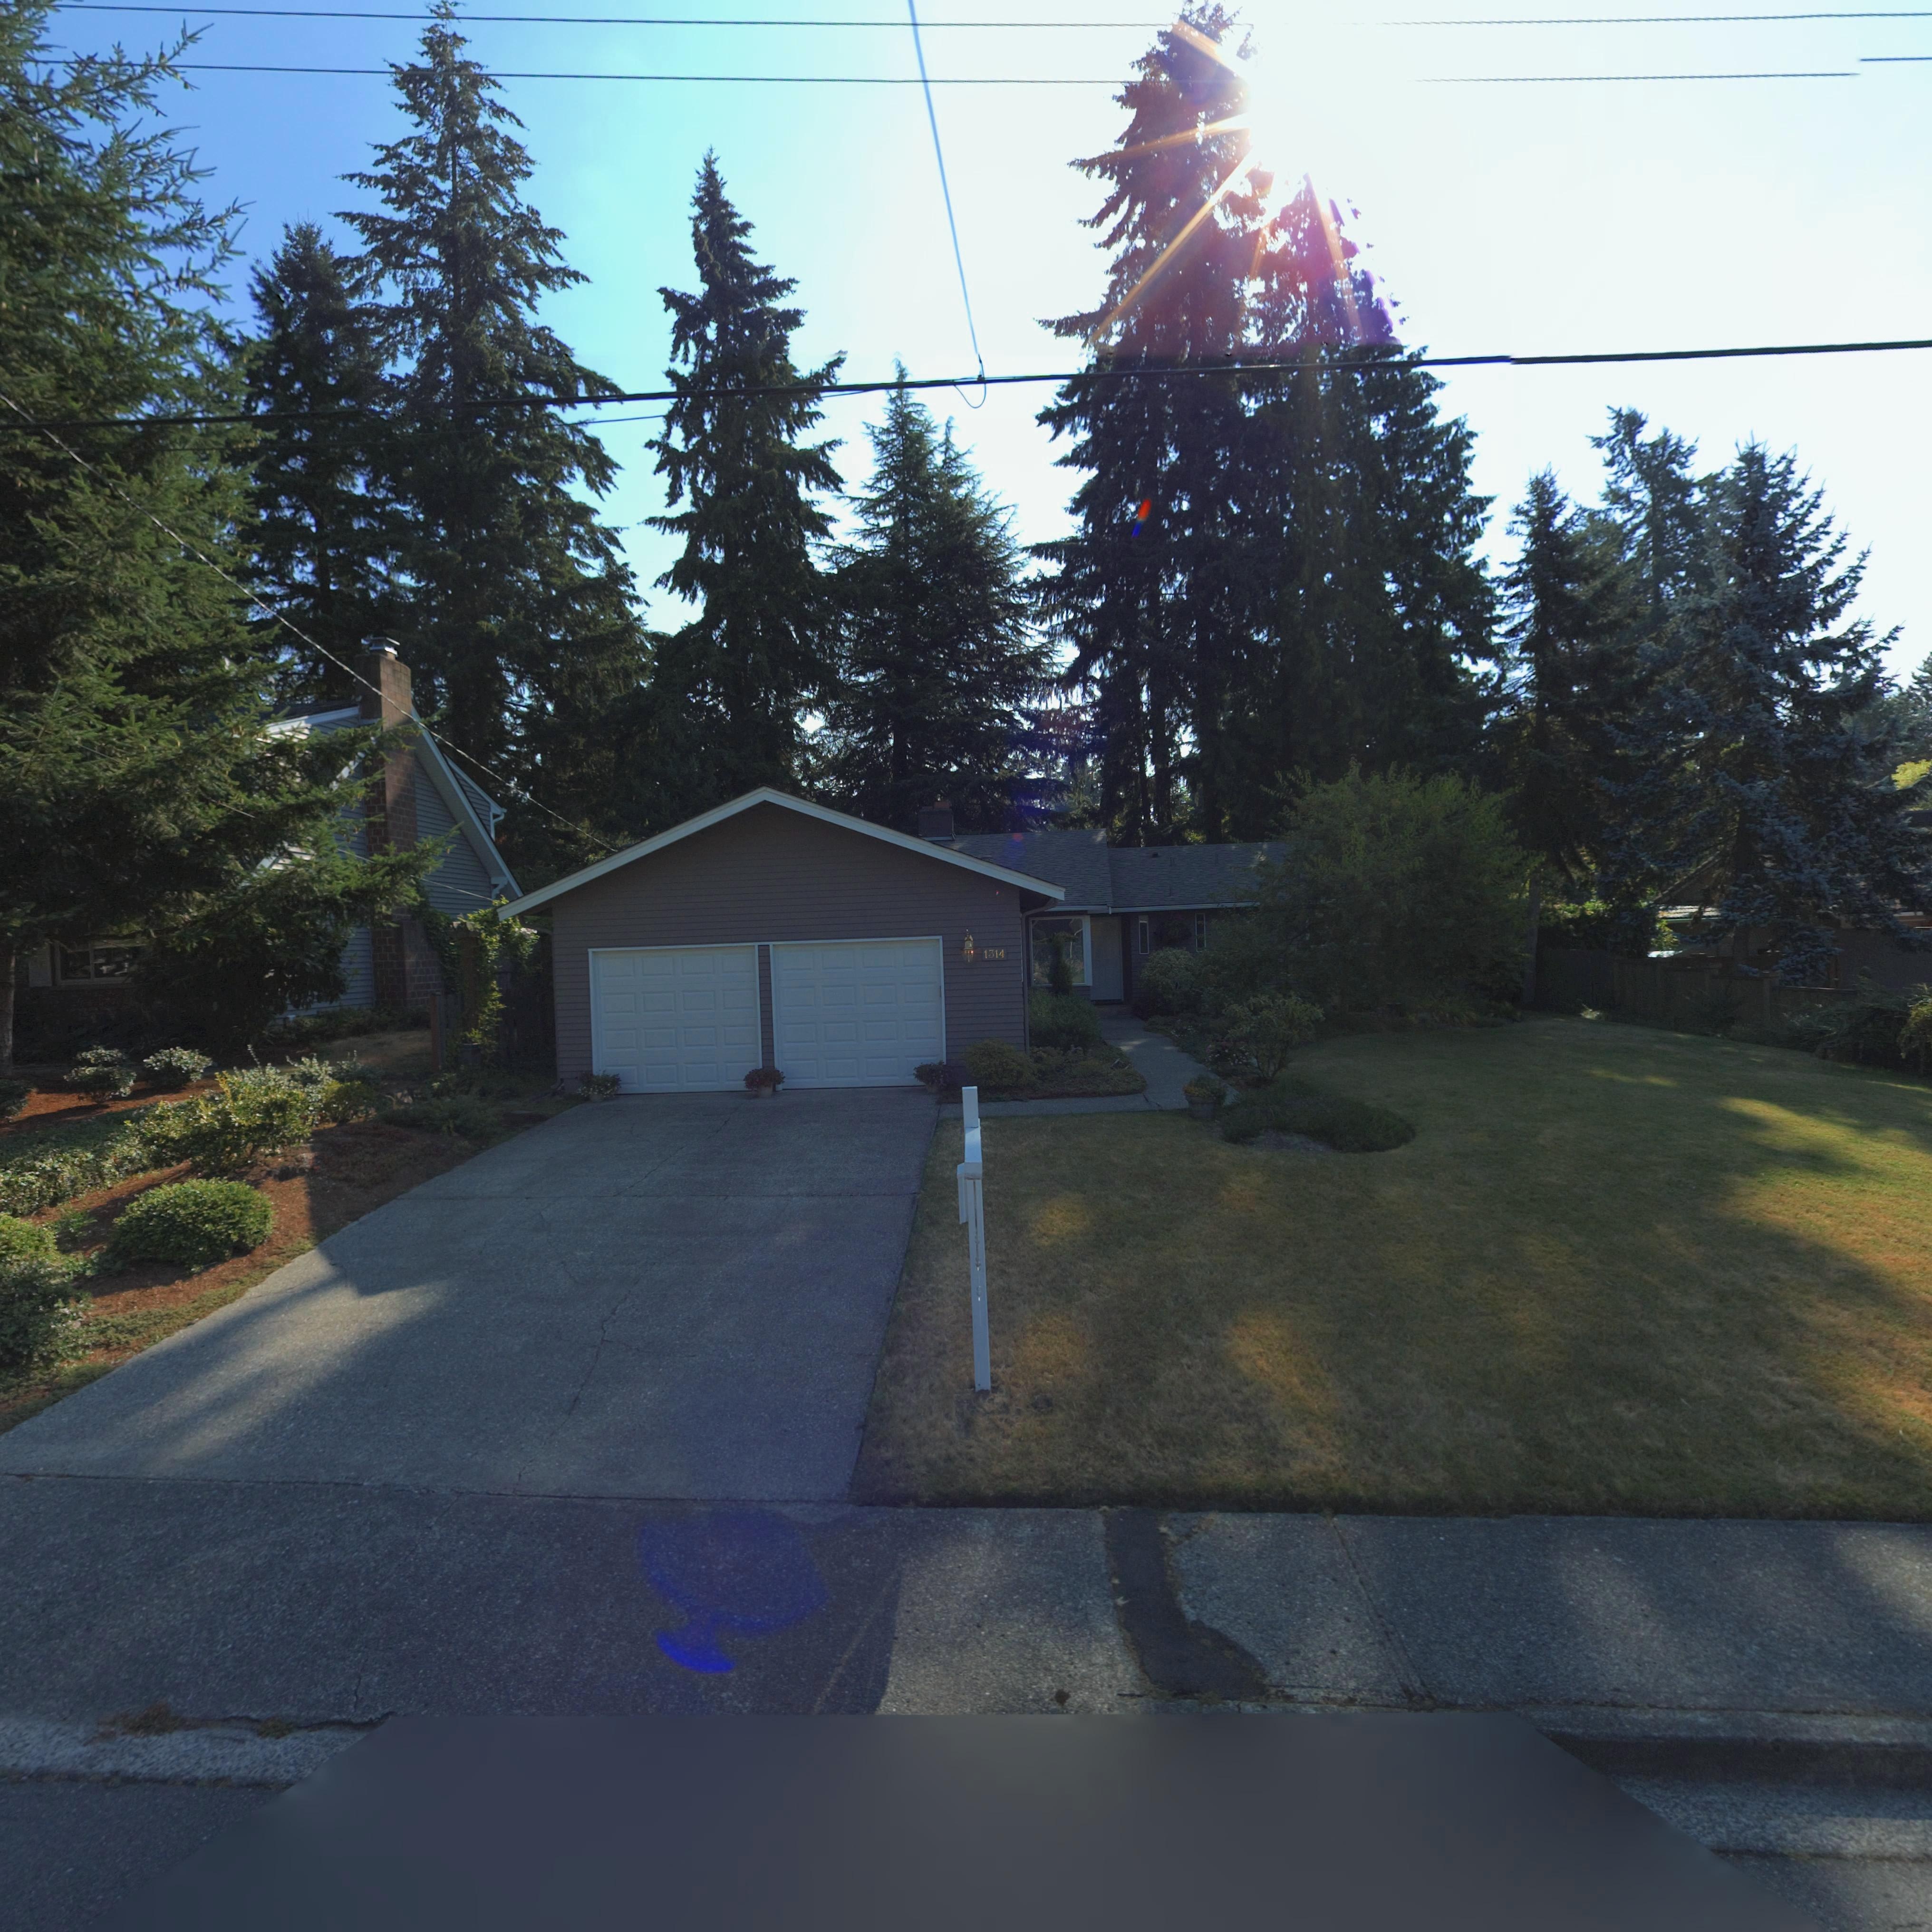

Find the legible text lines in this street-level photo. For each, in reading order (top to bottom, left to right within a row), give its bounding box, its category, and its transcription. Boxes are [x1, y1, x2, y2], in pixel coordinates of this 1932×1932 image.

[983, 948, 1004, 959] StreetNumber: 1314